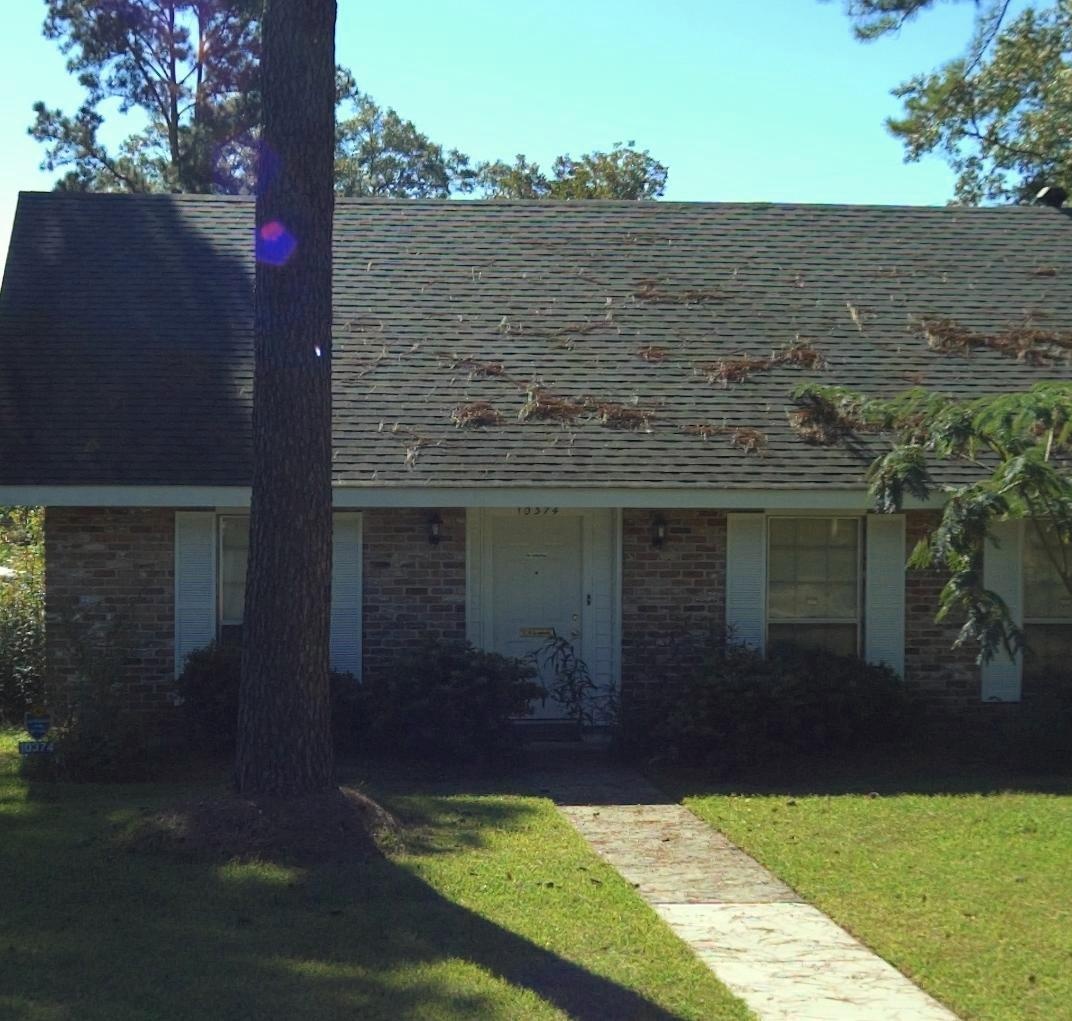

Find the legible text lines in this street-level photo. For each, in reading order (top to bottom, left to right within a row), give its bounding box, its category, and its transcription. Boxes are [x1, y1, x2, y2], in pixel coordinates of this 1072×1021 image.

[515, 504, 560, 517] StreetNumber: 10374